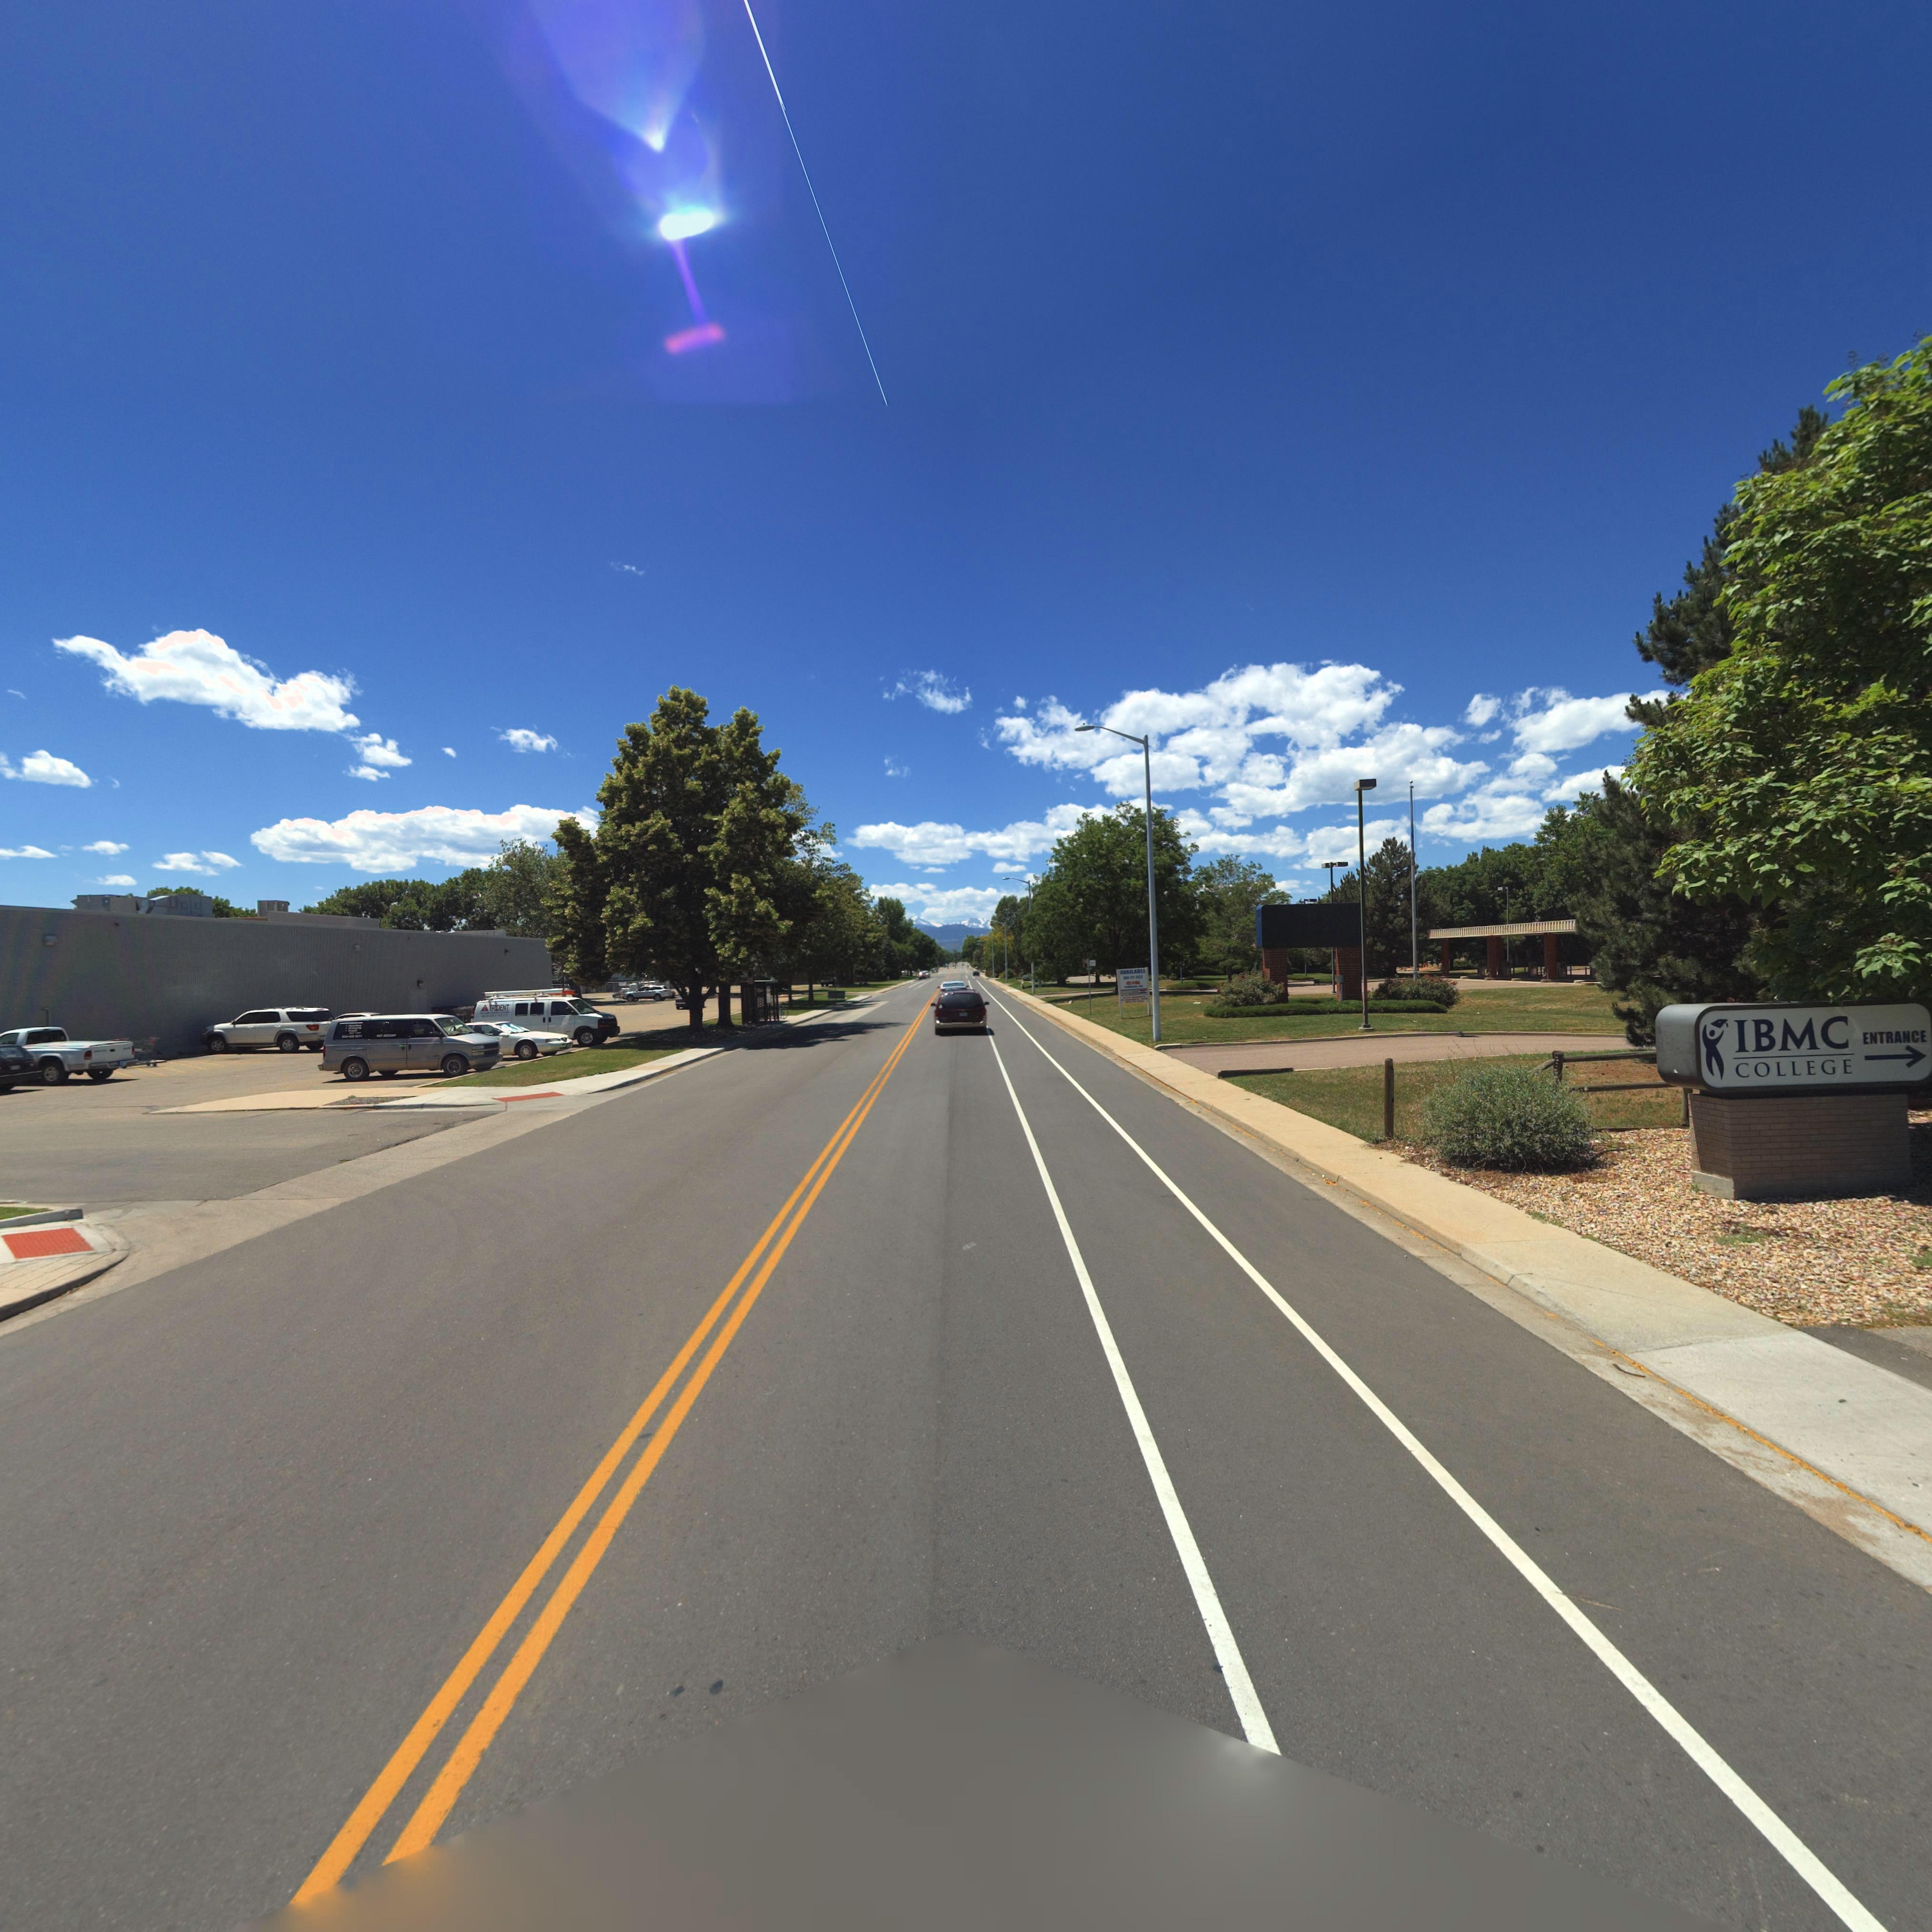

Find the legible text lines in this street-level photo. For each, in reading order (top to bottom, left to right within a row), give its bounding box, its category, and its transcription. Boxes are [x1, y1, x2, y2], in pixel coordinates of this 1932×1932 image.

[1734, 1015, 1849, 1052] BusinessName: IBMC
[1734, 1059, 1853, 1078] BusinessName: COLLEGE